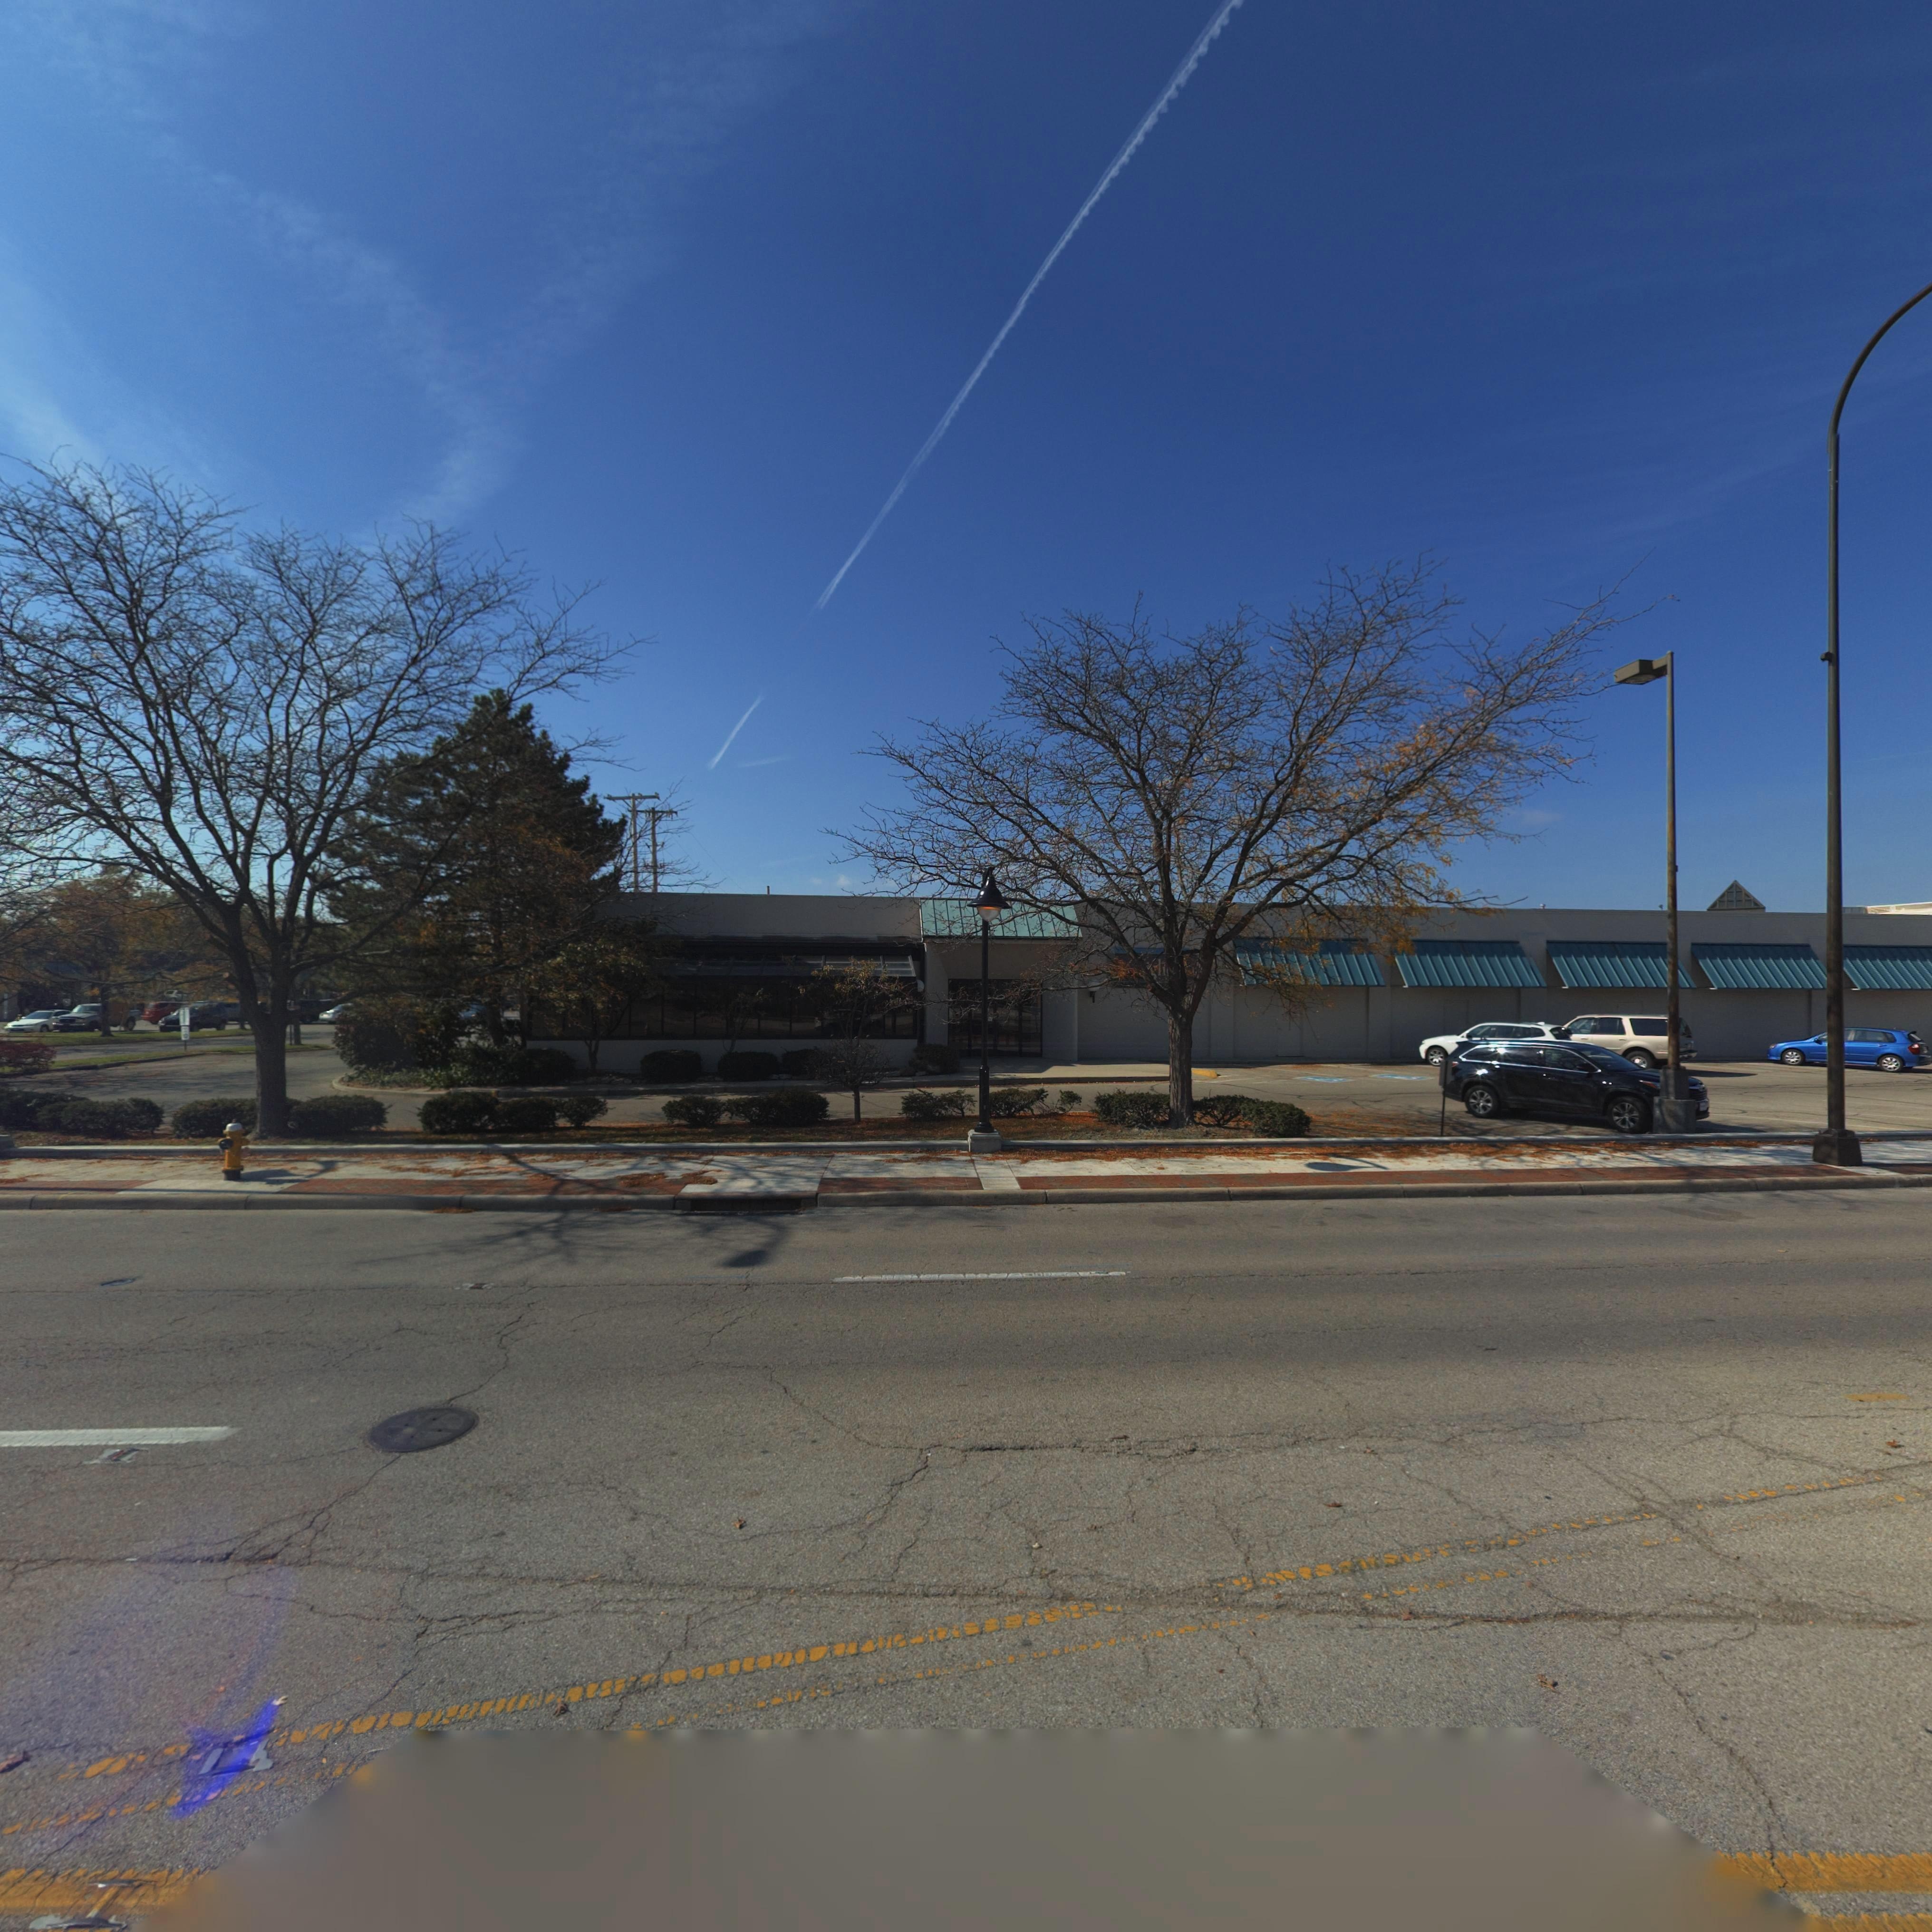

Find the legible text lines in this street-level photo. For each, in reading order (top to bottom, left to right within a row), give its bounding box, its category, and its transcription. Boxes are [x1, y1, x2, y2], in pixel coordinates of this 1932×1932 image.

[182, 1033, 188, 1039] None: 10